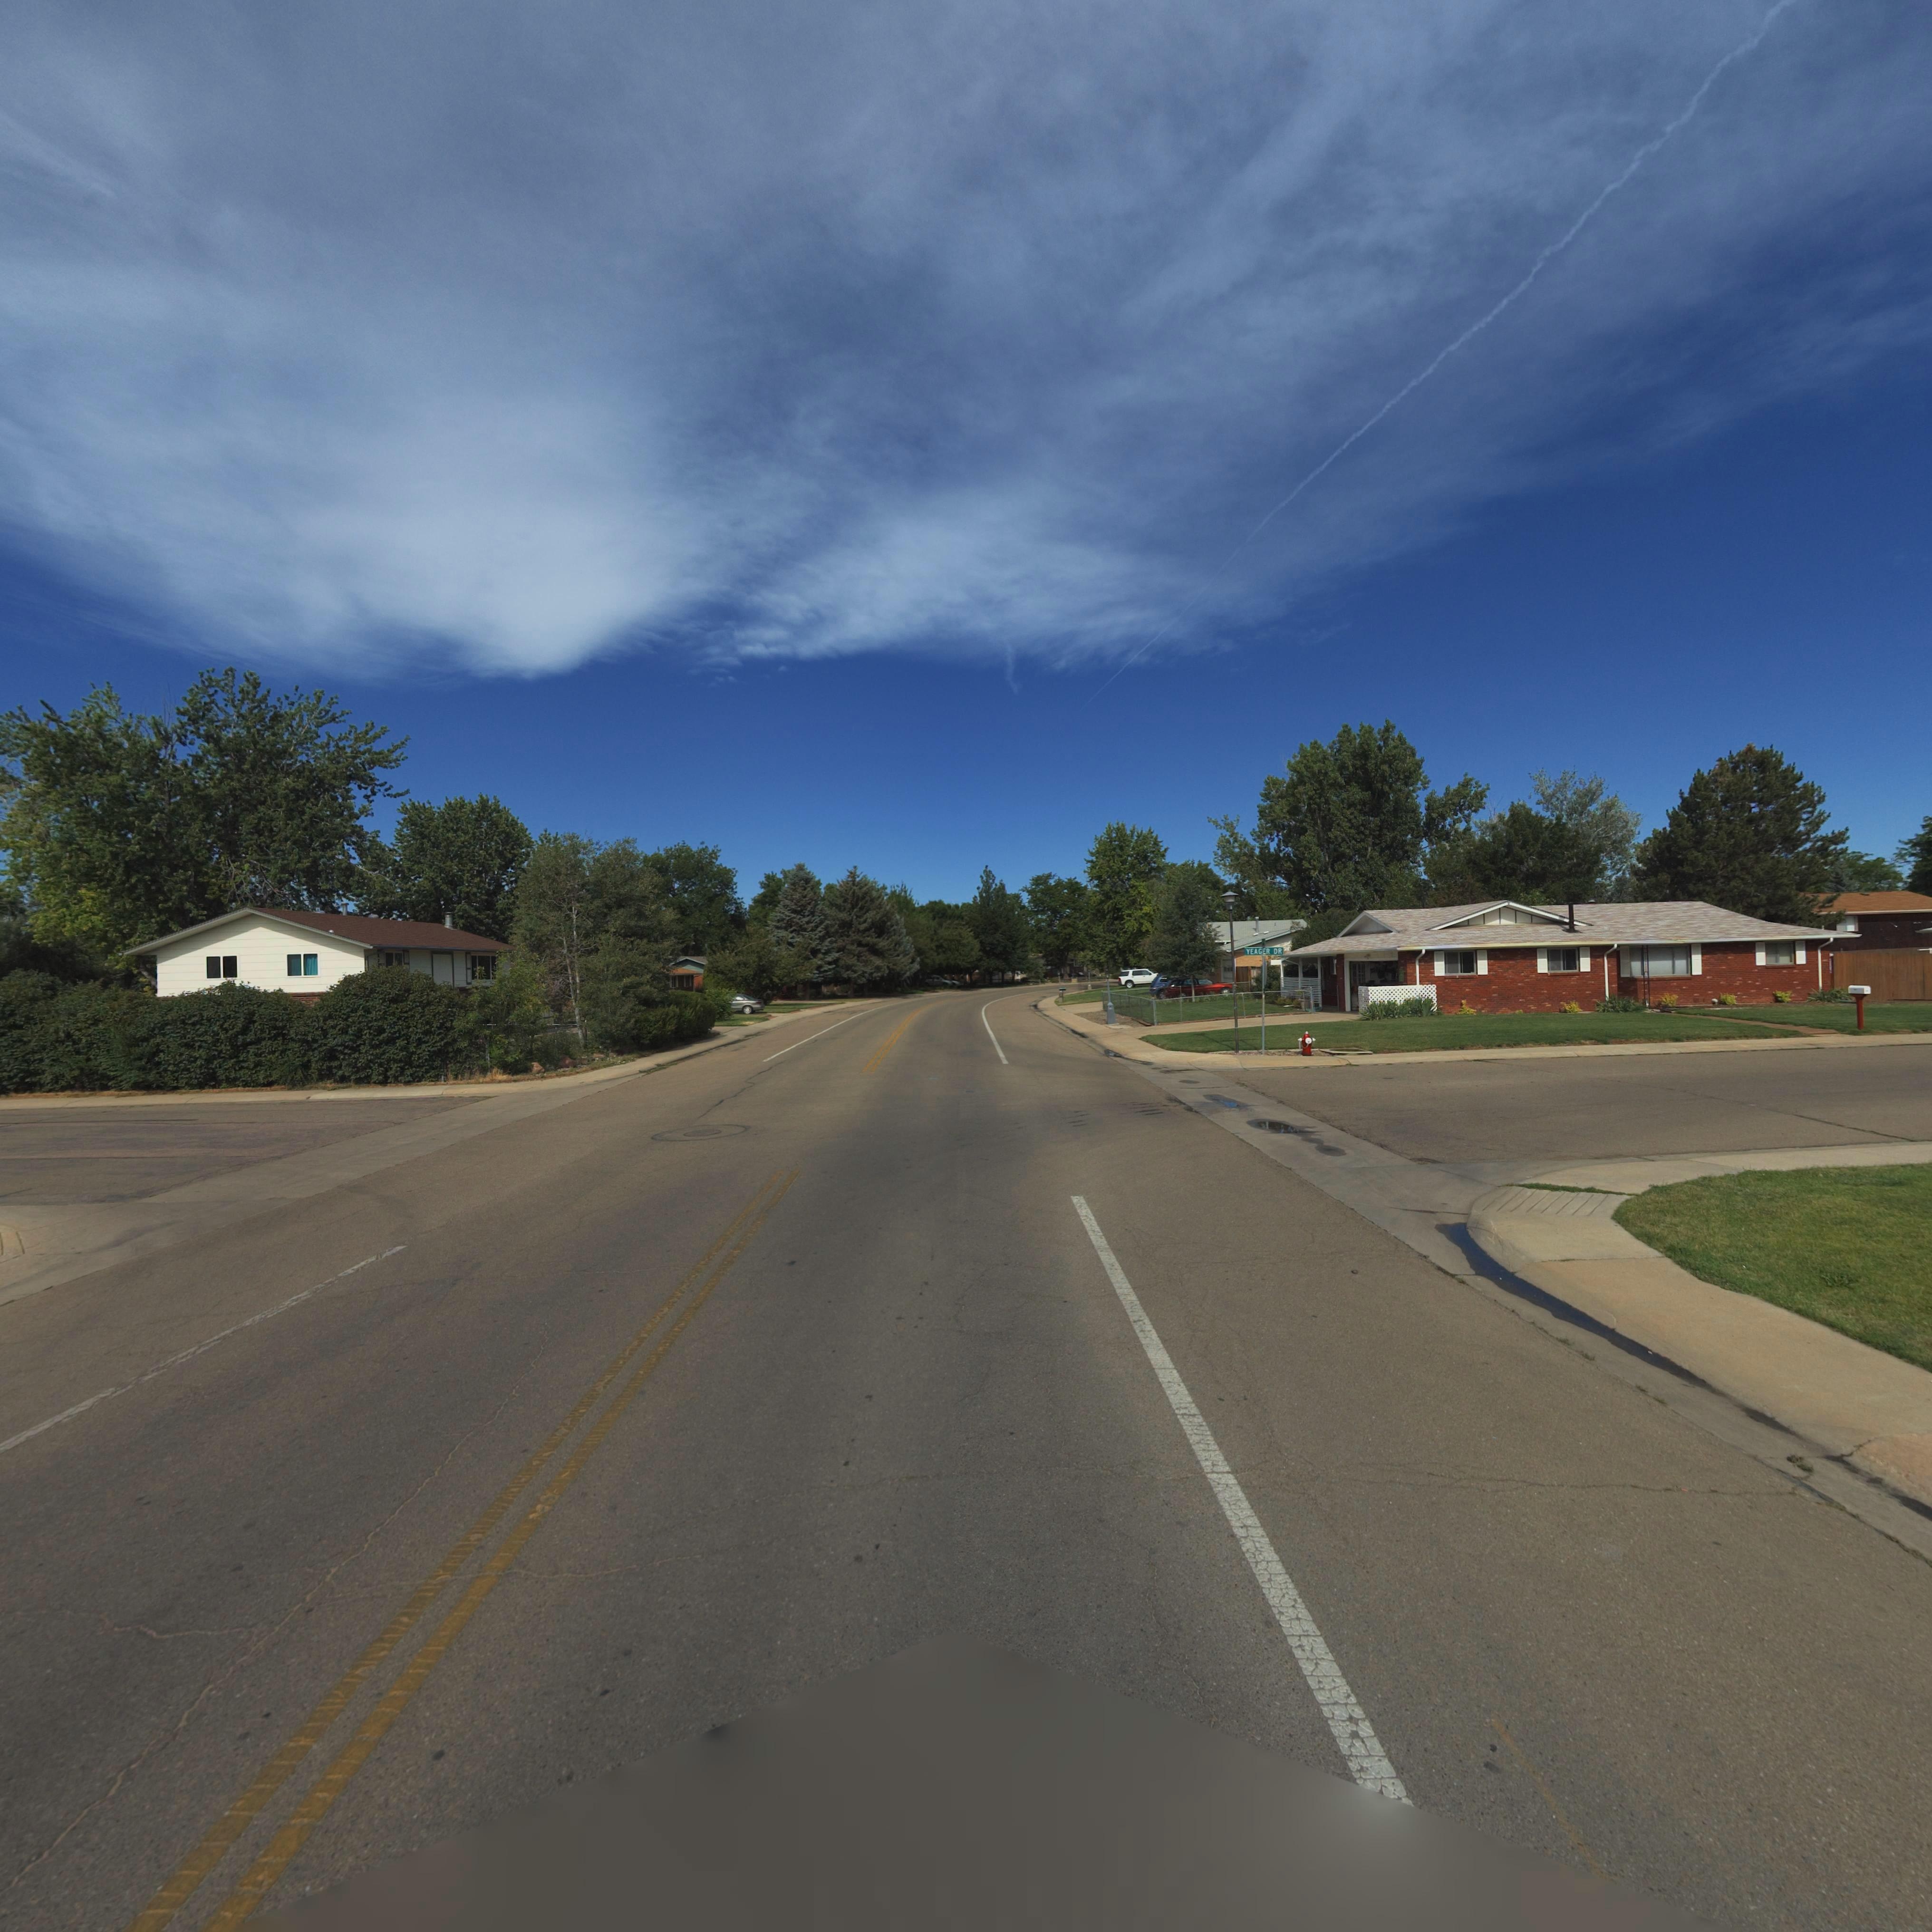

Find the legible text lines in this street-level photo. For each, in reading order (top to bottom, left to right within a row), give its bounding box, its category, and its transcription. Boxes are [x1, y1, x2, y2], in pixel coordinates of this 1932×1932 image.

[1246, 947, 1282, 954] StreetName: YEAGER DR